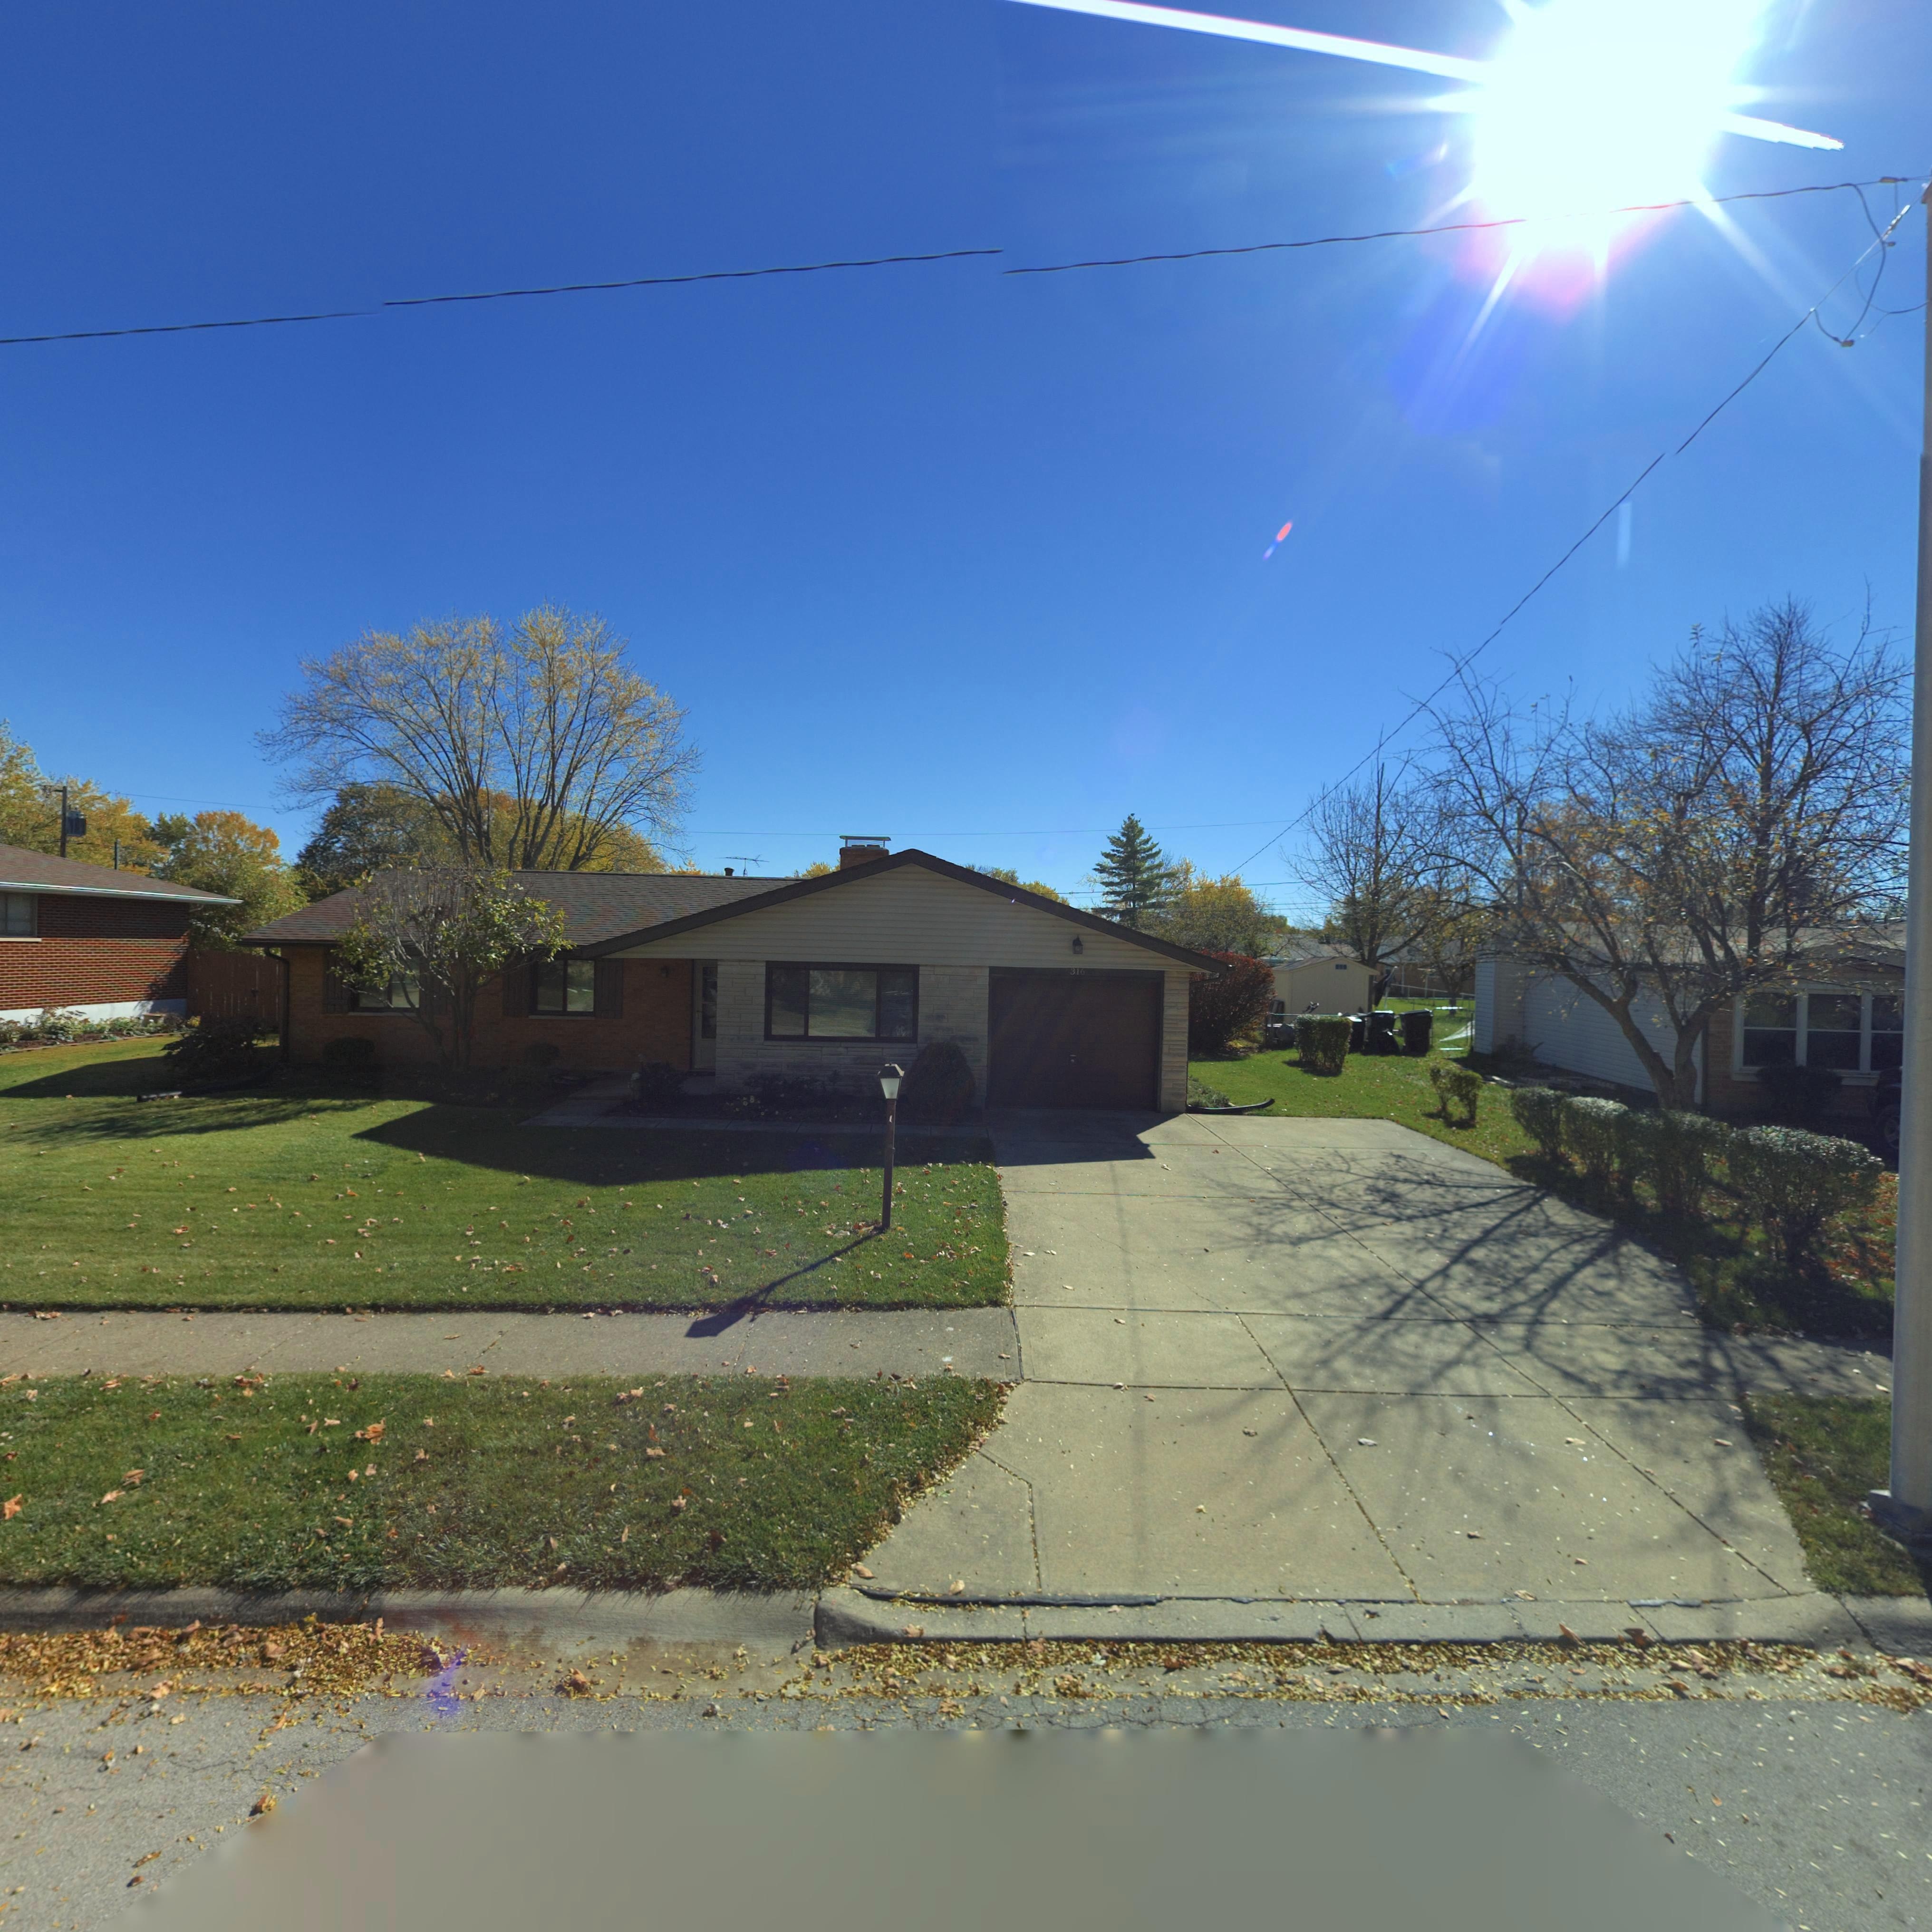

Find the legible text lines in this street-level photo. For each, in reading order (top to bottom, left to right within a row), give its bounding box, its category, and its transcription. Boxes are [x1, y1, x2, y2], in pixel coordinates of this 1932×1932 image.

[1069, 967, 1086, 976] StreetNumber: 316